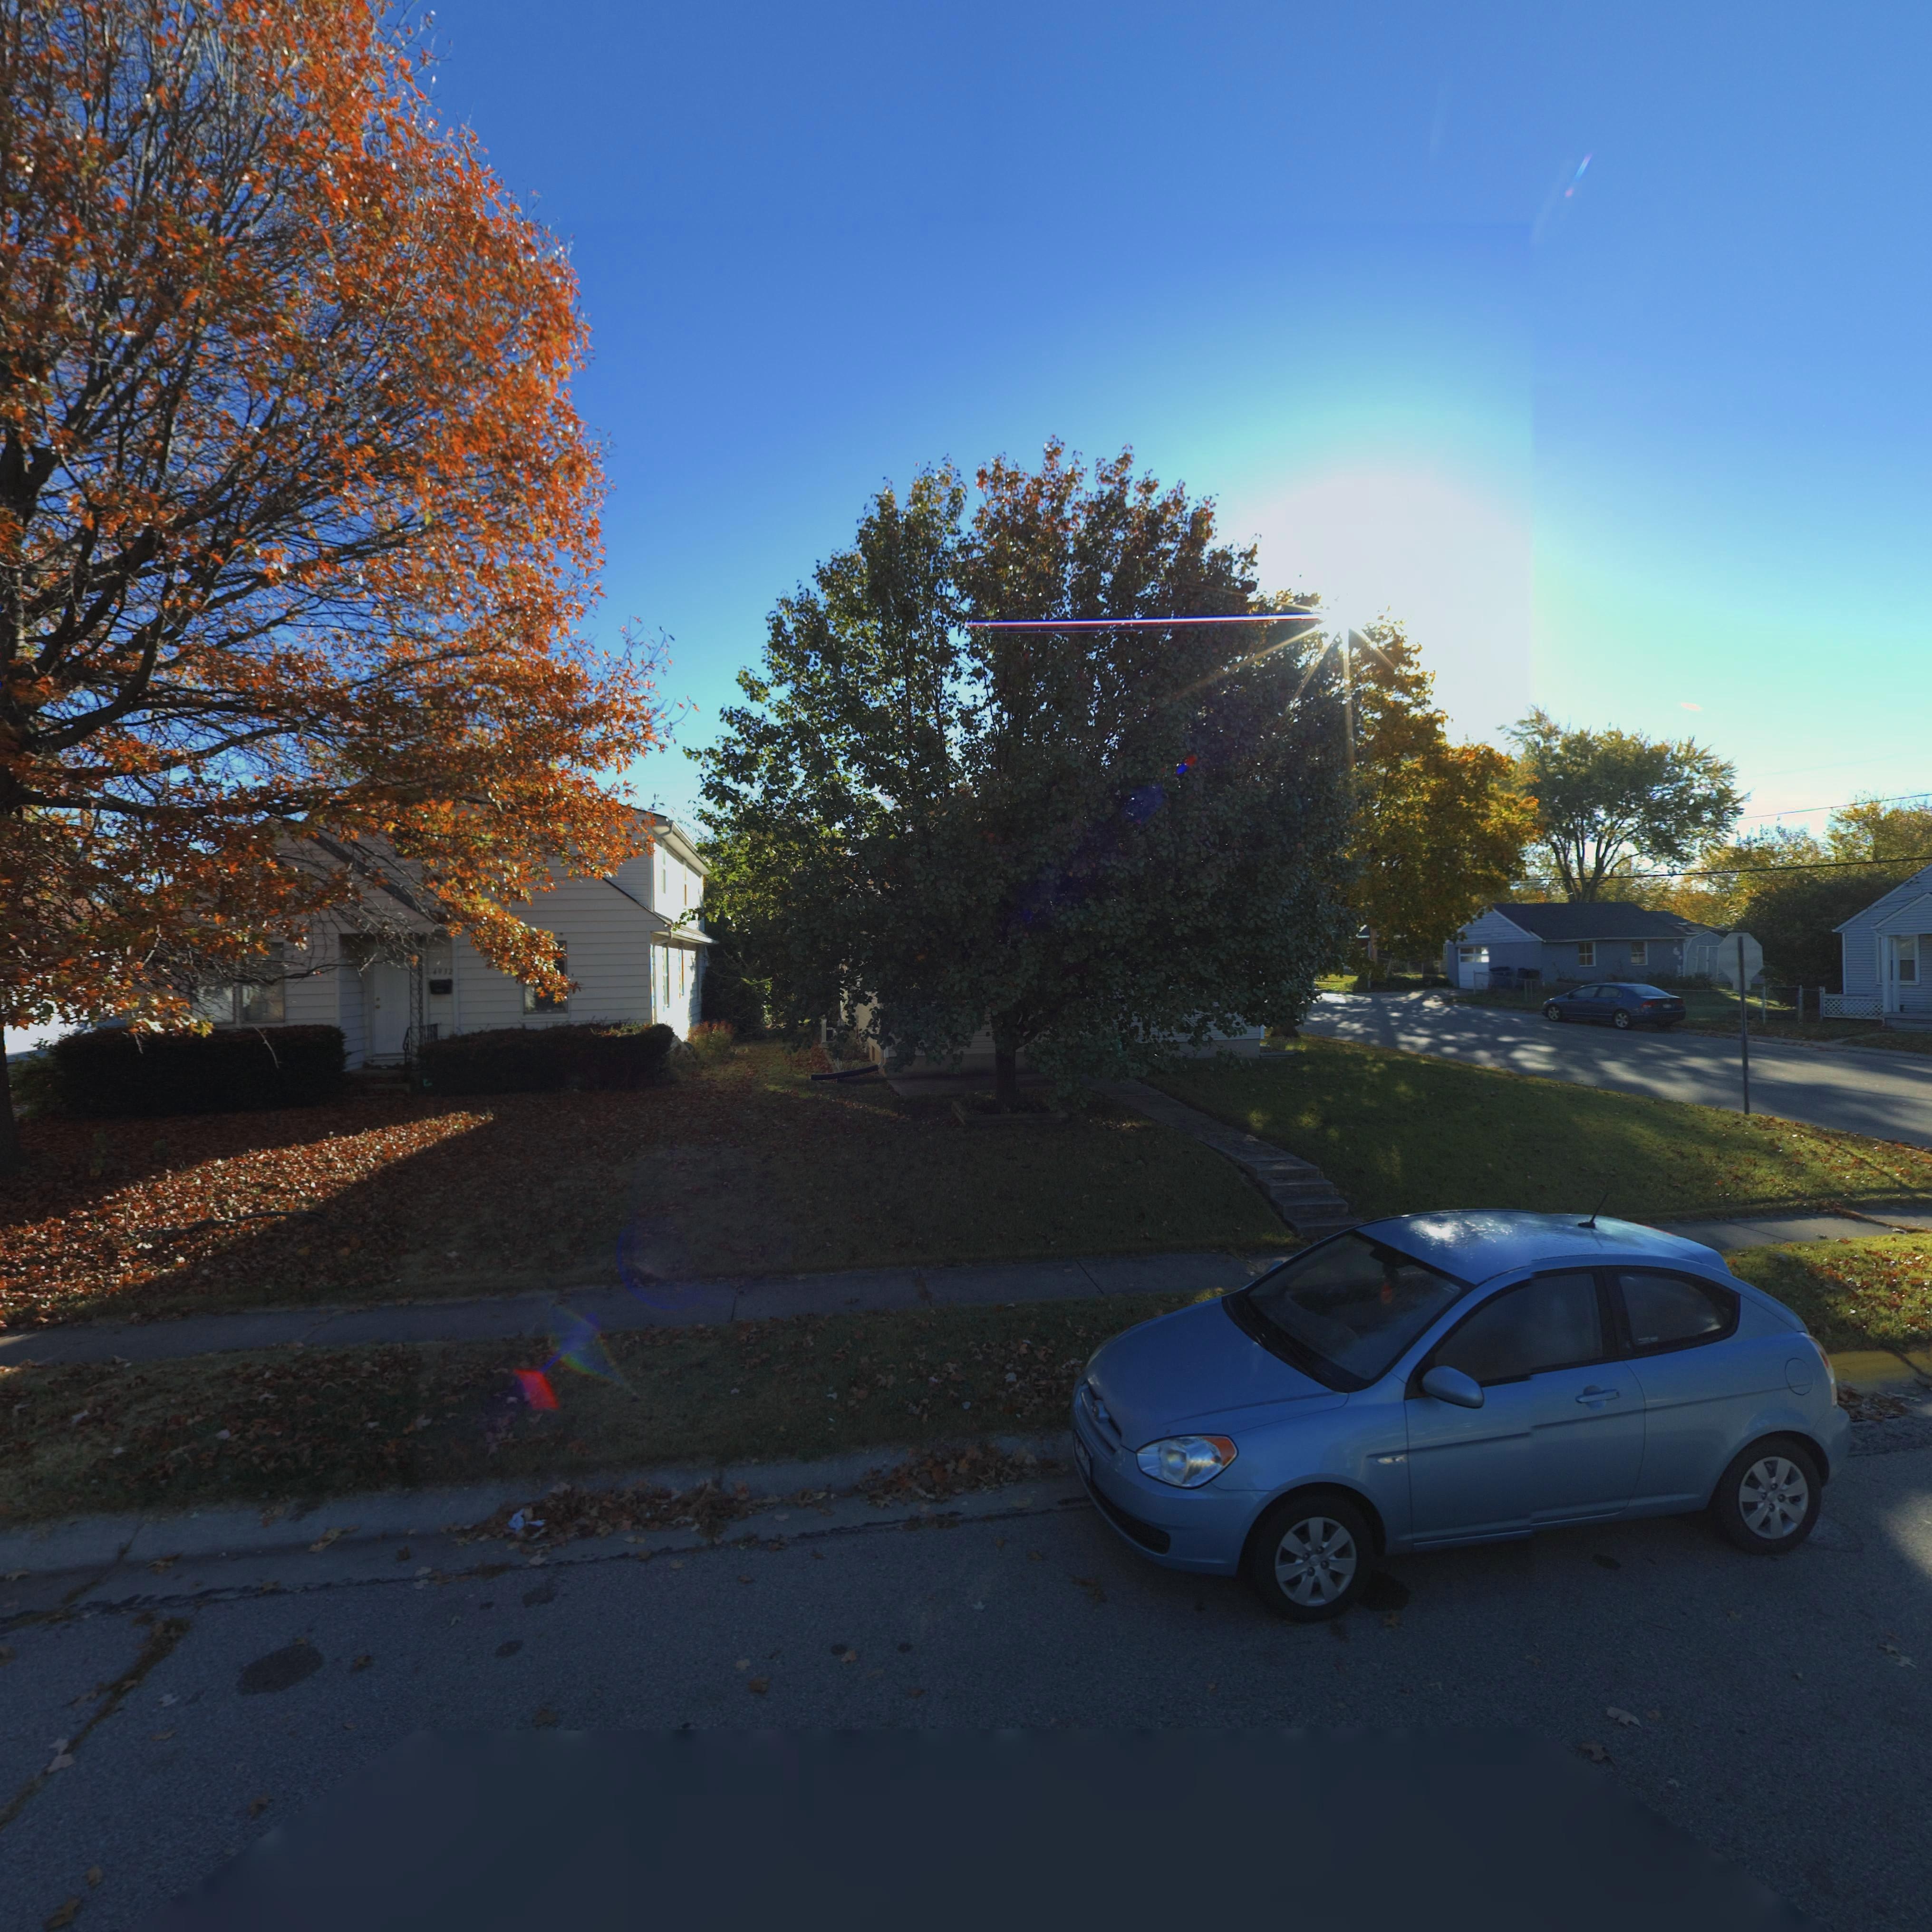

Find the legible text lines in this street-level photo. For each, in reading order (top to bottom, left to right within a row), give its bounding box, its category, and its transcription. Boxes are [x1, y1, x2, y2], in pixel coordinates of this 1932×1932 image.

[432, 968, 454, 976] StreetNumber: 4932